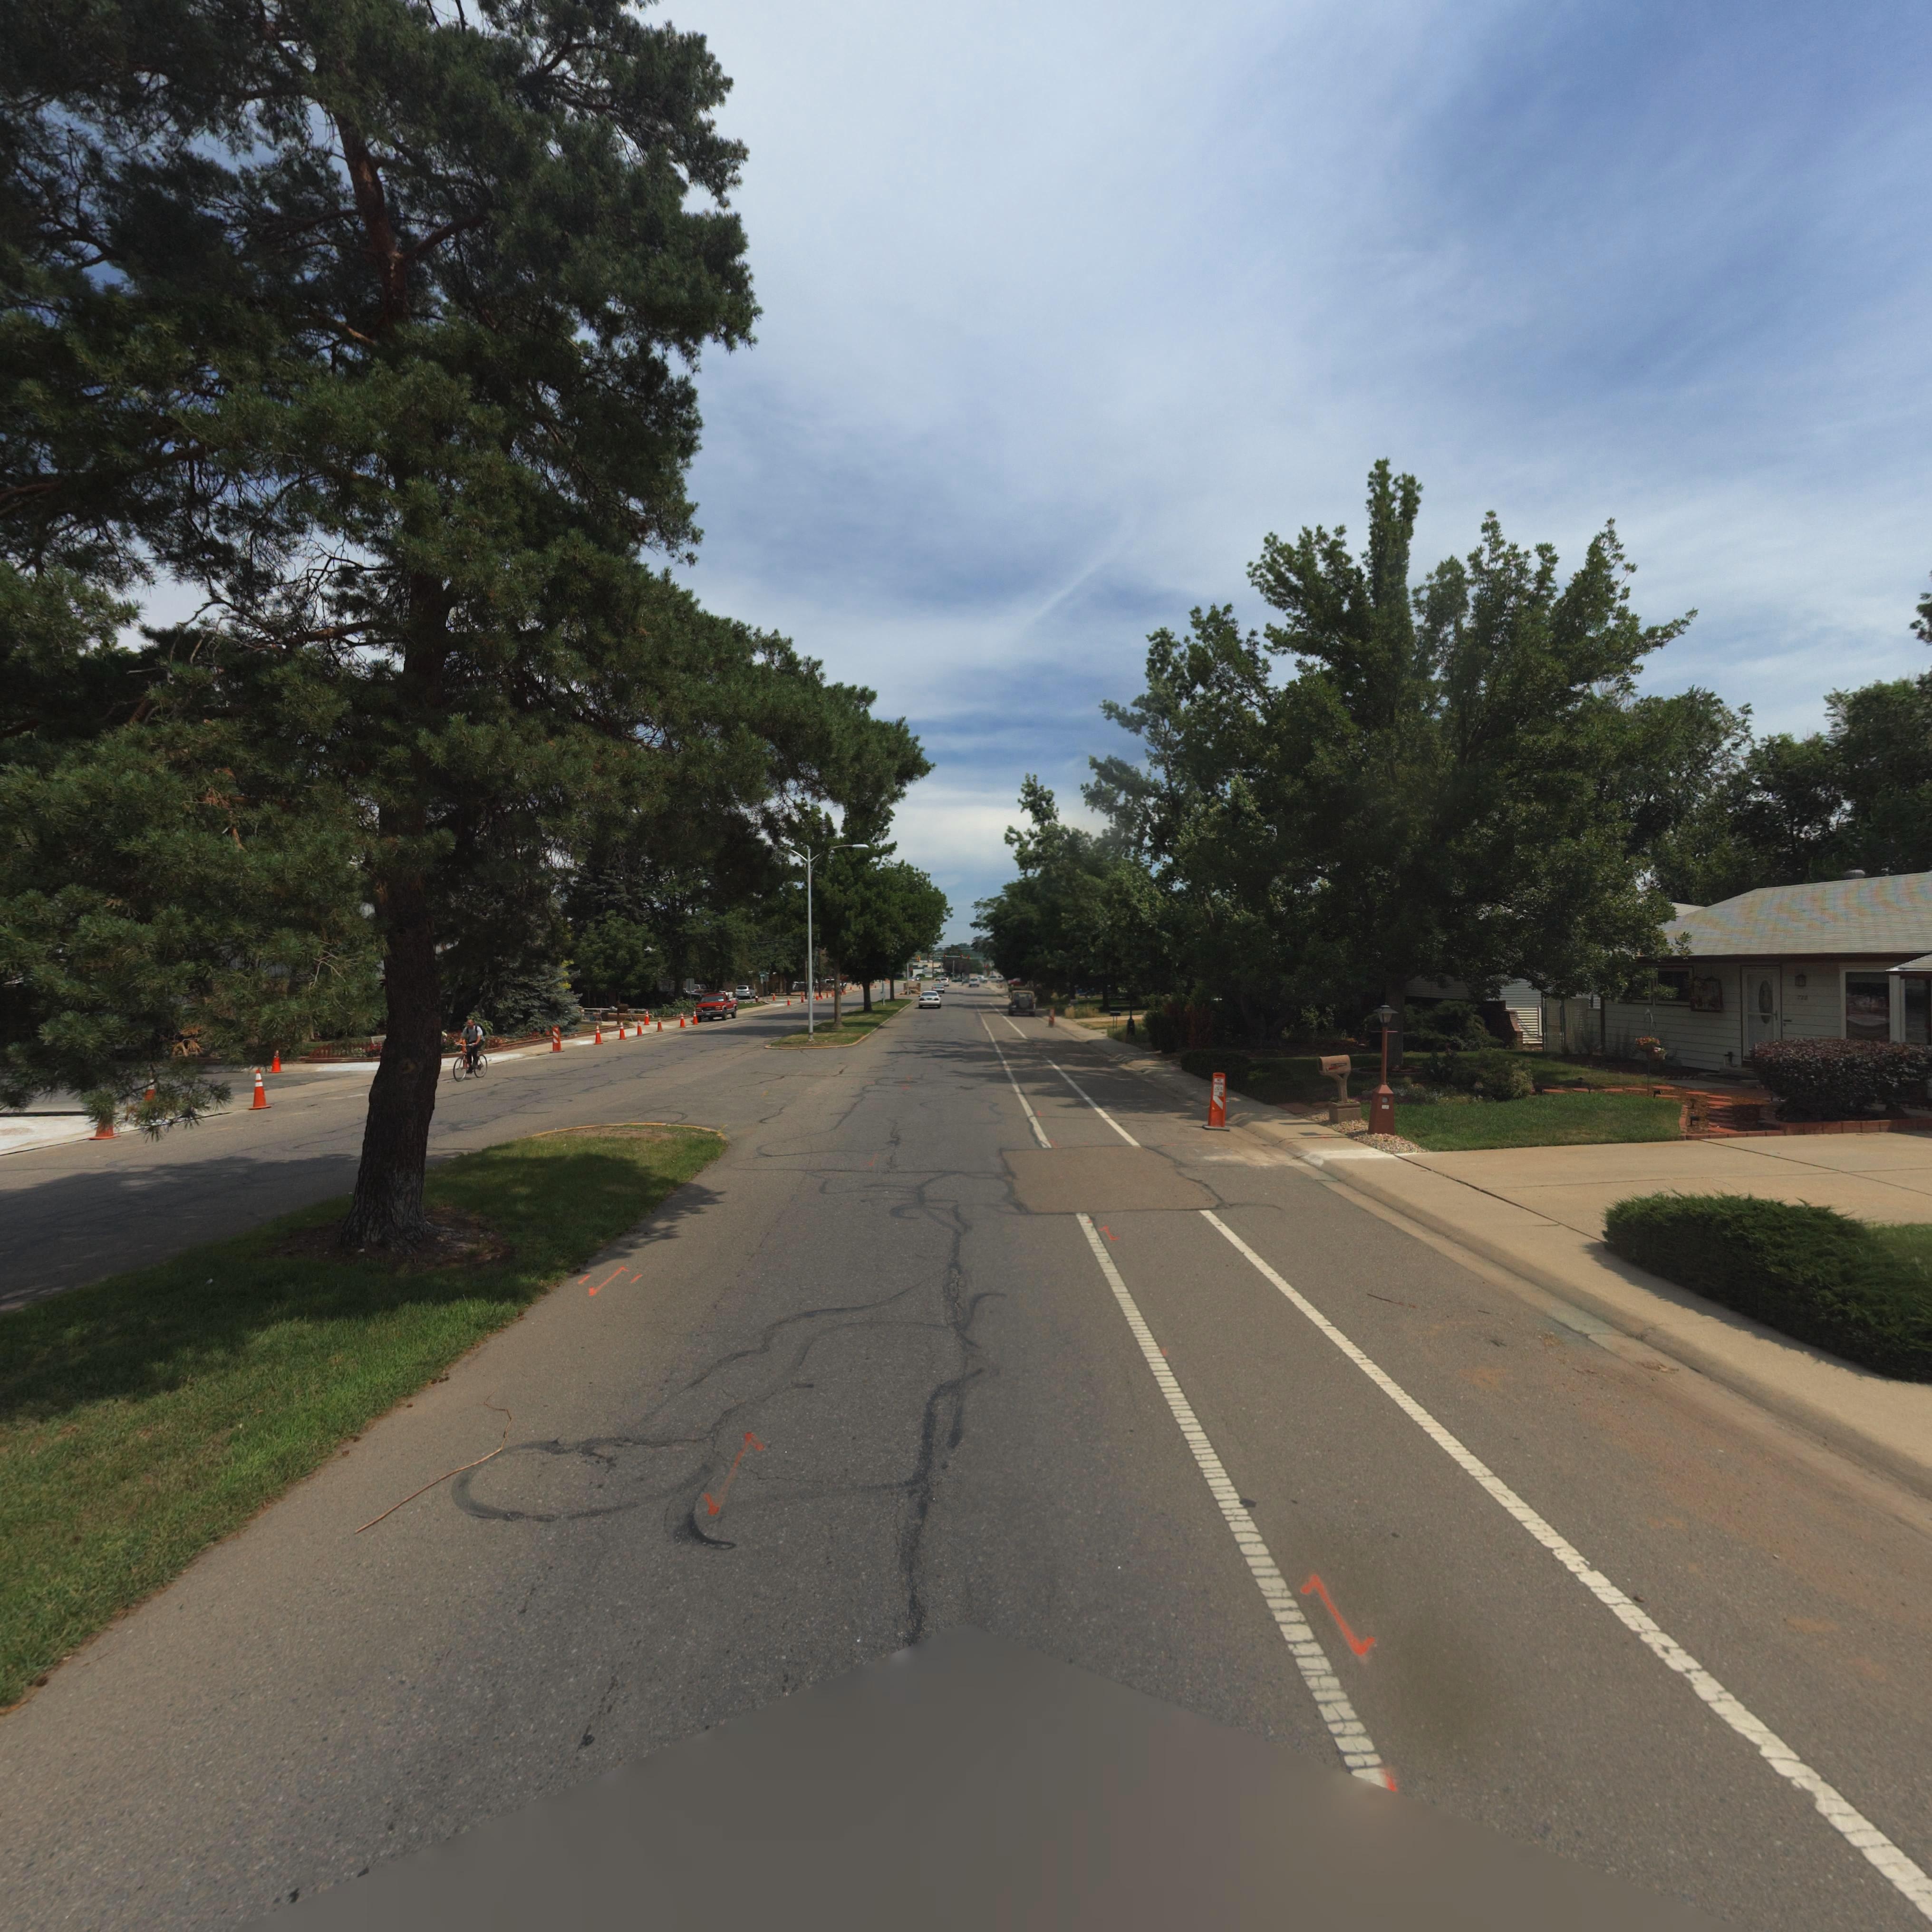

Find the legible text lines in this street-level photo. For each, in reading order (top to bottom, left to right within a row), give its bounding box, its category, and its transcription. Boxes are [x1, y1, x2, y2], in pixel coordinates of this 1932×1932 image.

[1797, 994, 1808, 1000] StreetNumber: 7*0